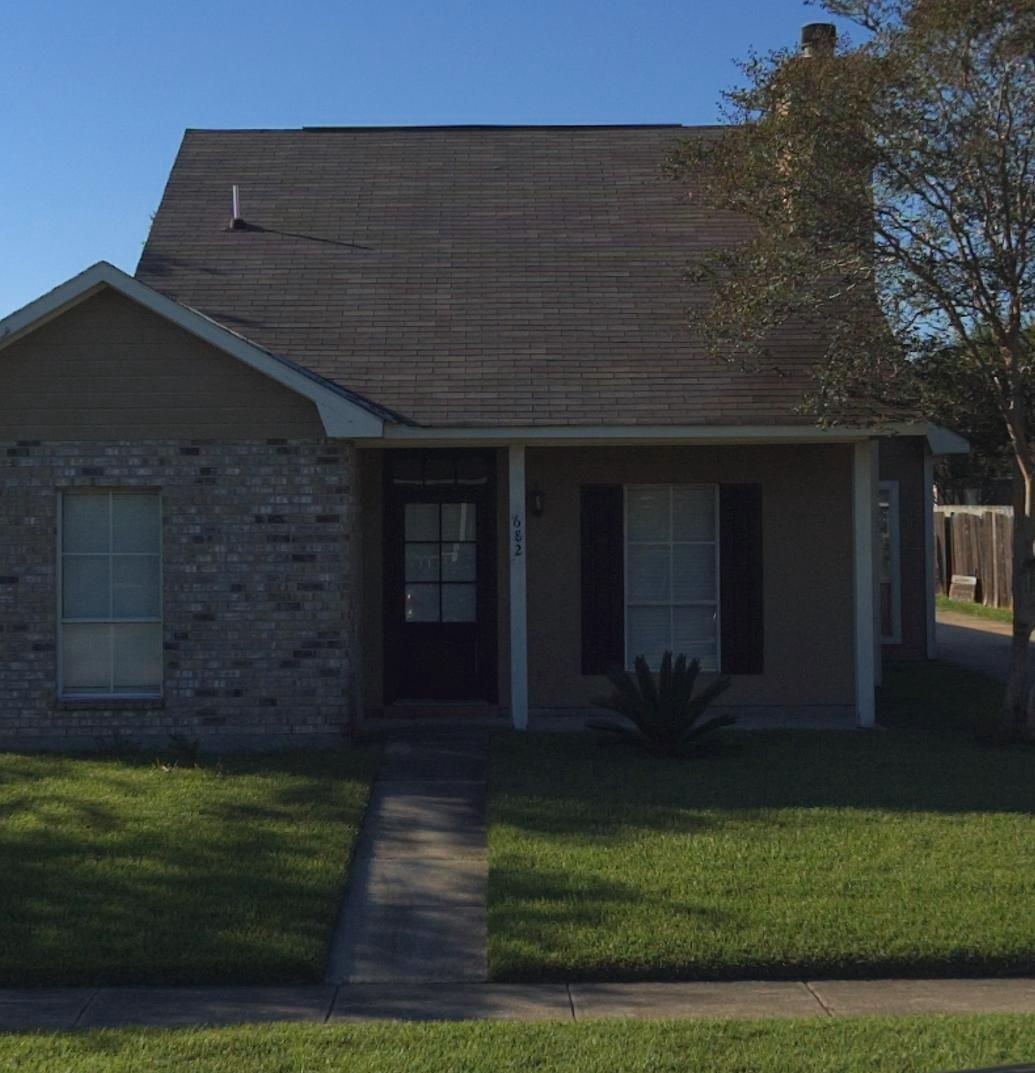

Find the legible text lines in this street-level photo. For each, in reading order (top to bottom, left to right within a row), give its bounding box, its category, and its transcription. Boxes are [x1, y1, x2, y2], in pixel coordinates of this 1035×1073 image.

[512, 514, 523, 557] StreetNumber: 682